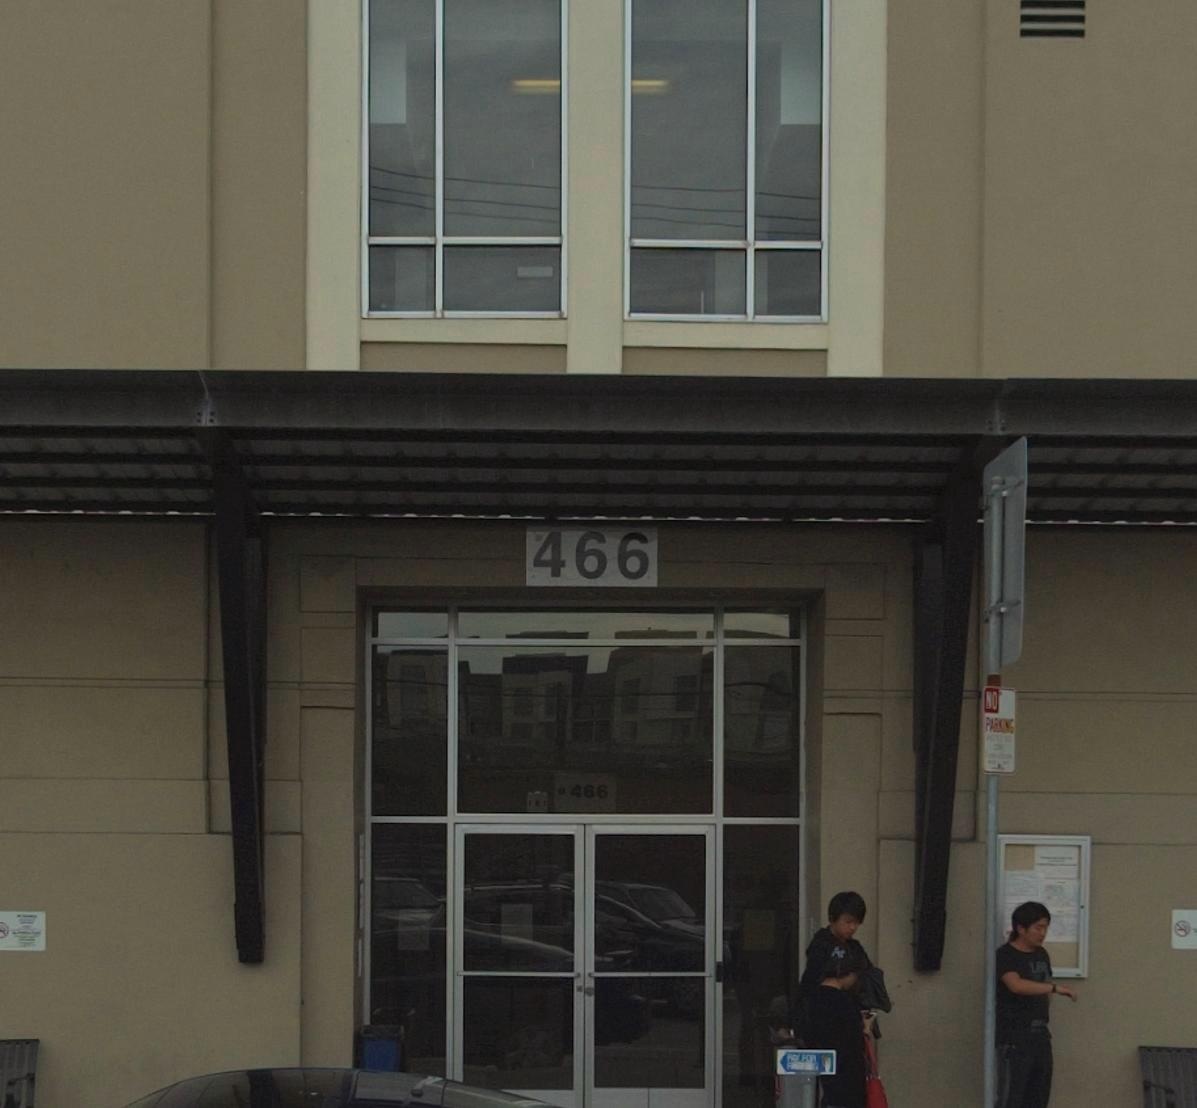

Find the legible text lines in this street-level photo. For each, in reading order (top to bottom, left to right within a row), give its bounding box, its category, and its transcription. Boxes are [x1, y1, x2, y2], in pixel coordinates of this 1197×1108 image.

[530, 528, 652, 582] StreetNumber: 466
[984, 689, 999, 712] None: NO
[569, 783, 610, 801] StreetNumber: 466